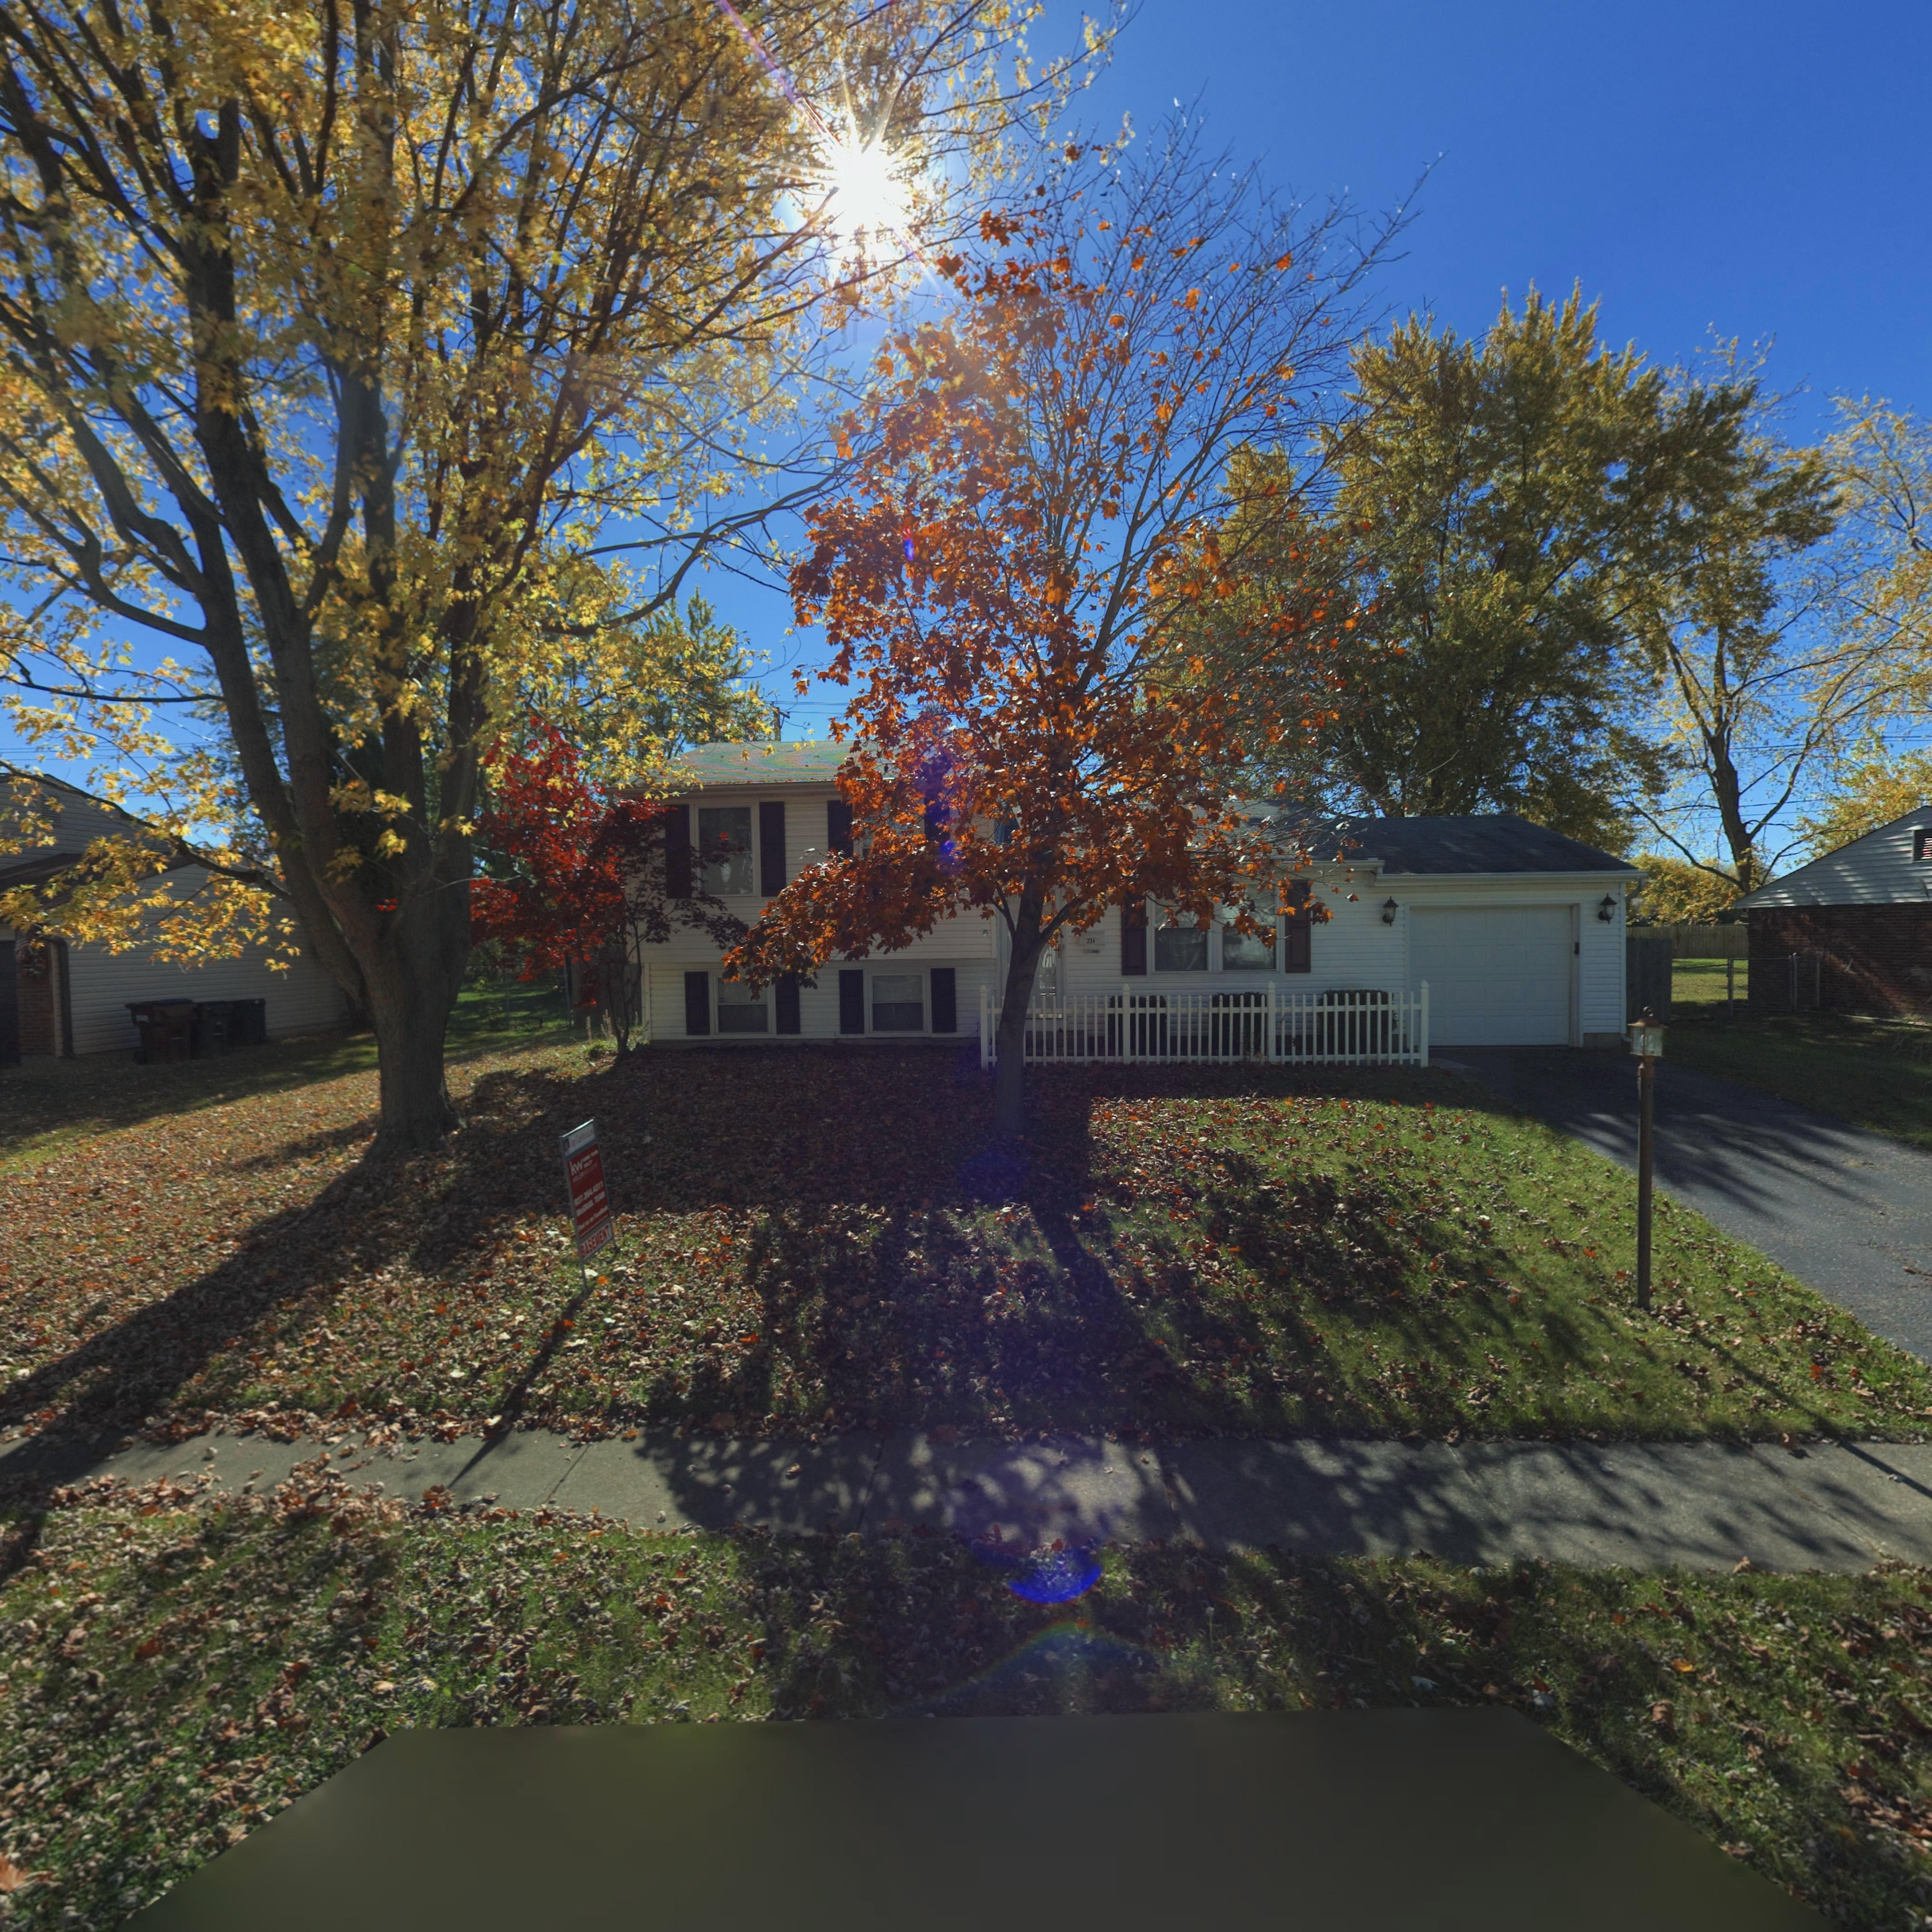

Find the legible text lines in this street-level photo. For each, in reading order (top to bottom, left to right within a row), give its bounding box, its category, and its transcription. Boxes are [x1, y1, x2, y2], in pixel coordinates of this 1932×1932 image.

[1086, 937, 1095, 944] StreetNumber: 234